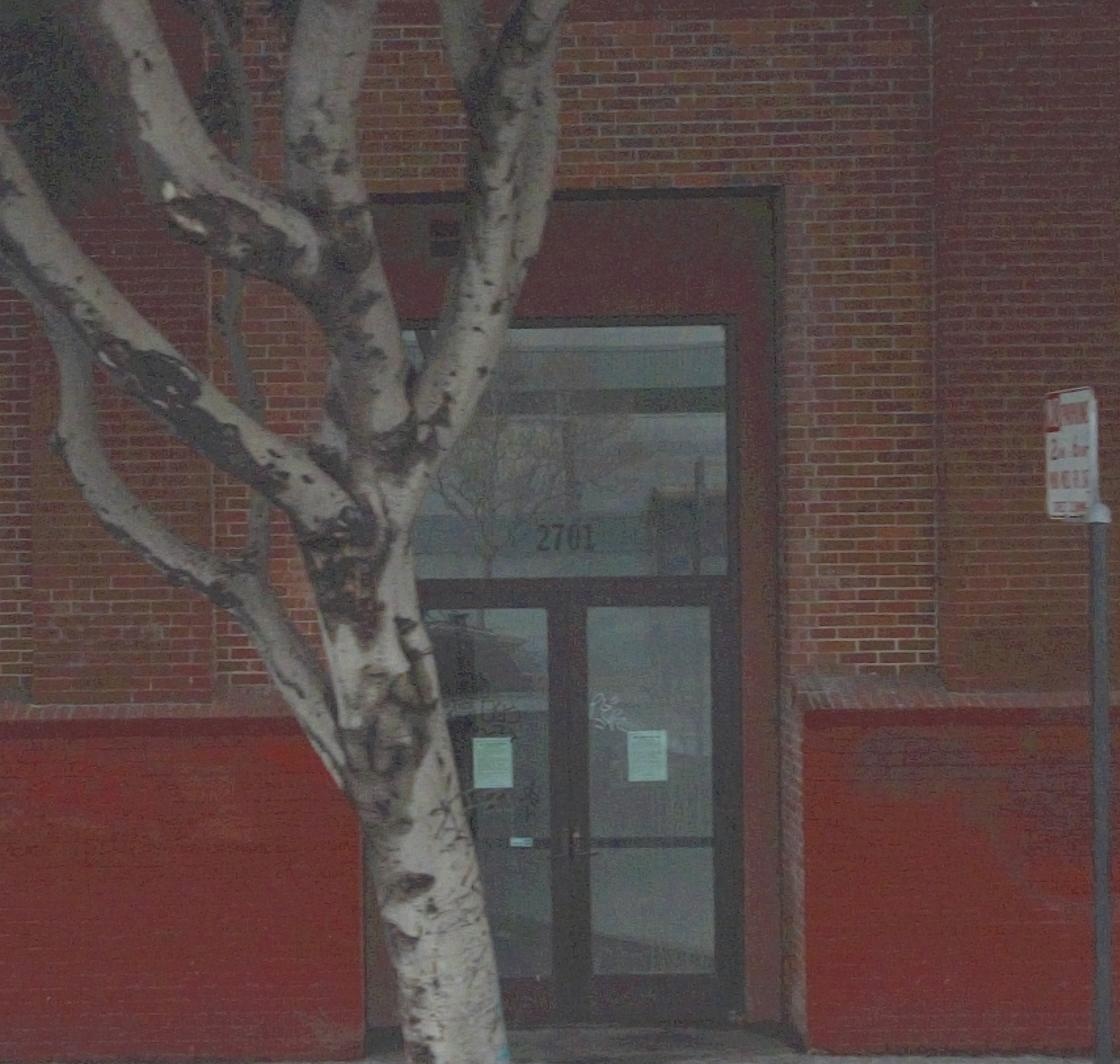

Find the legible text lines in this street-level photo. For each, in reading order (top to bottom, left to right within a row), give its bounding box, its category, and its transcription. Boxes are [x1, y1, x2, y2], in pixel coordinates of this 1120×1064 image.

[1046, 438, 1060, 461] None: 2
[535, 522, 596, 551] StreetNumber: 2701